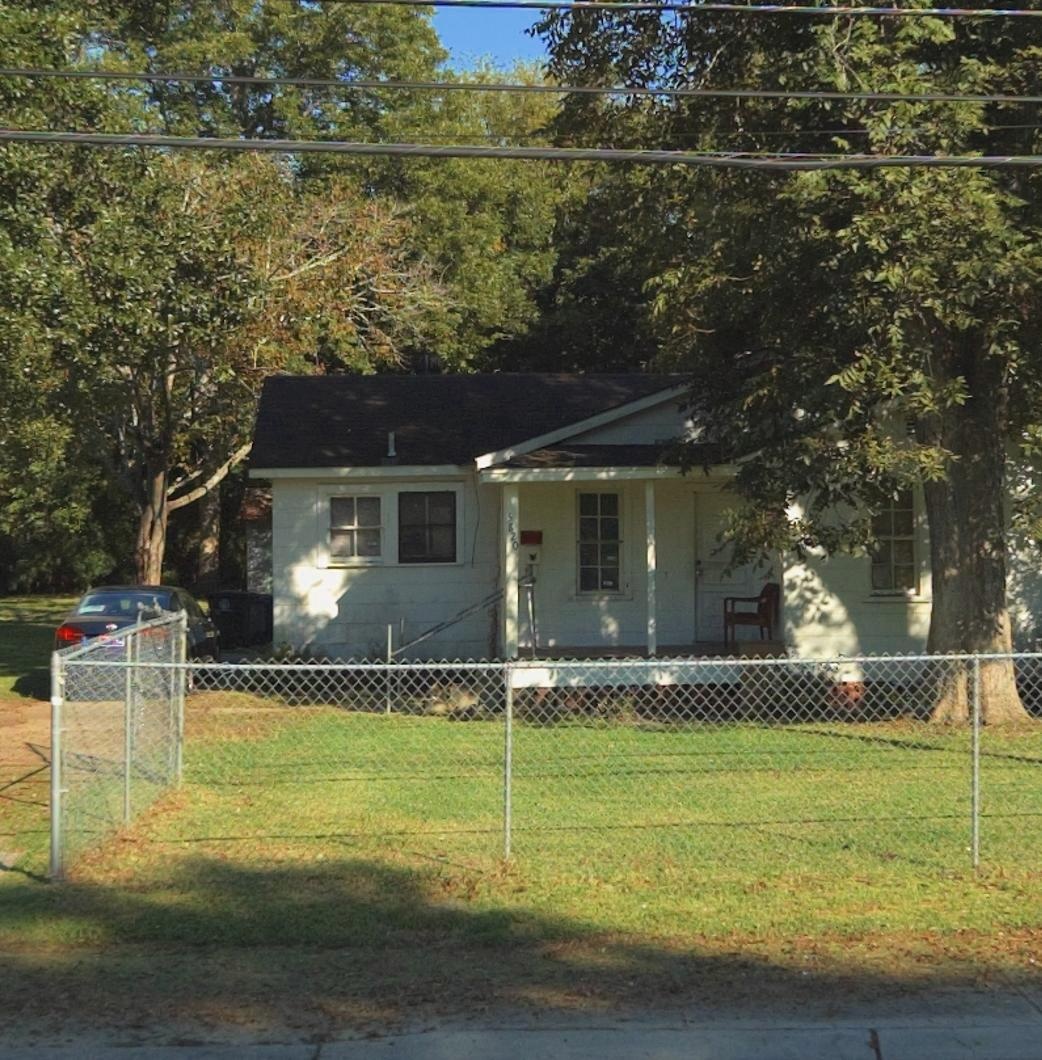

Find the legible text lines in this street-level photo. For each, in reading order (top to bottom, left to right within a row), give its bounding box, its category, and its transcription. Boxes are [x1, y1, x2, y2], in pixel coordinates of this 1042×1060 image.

[507, 512, 519, 550] StreetNumber: 5820